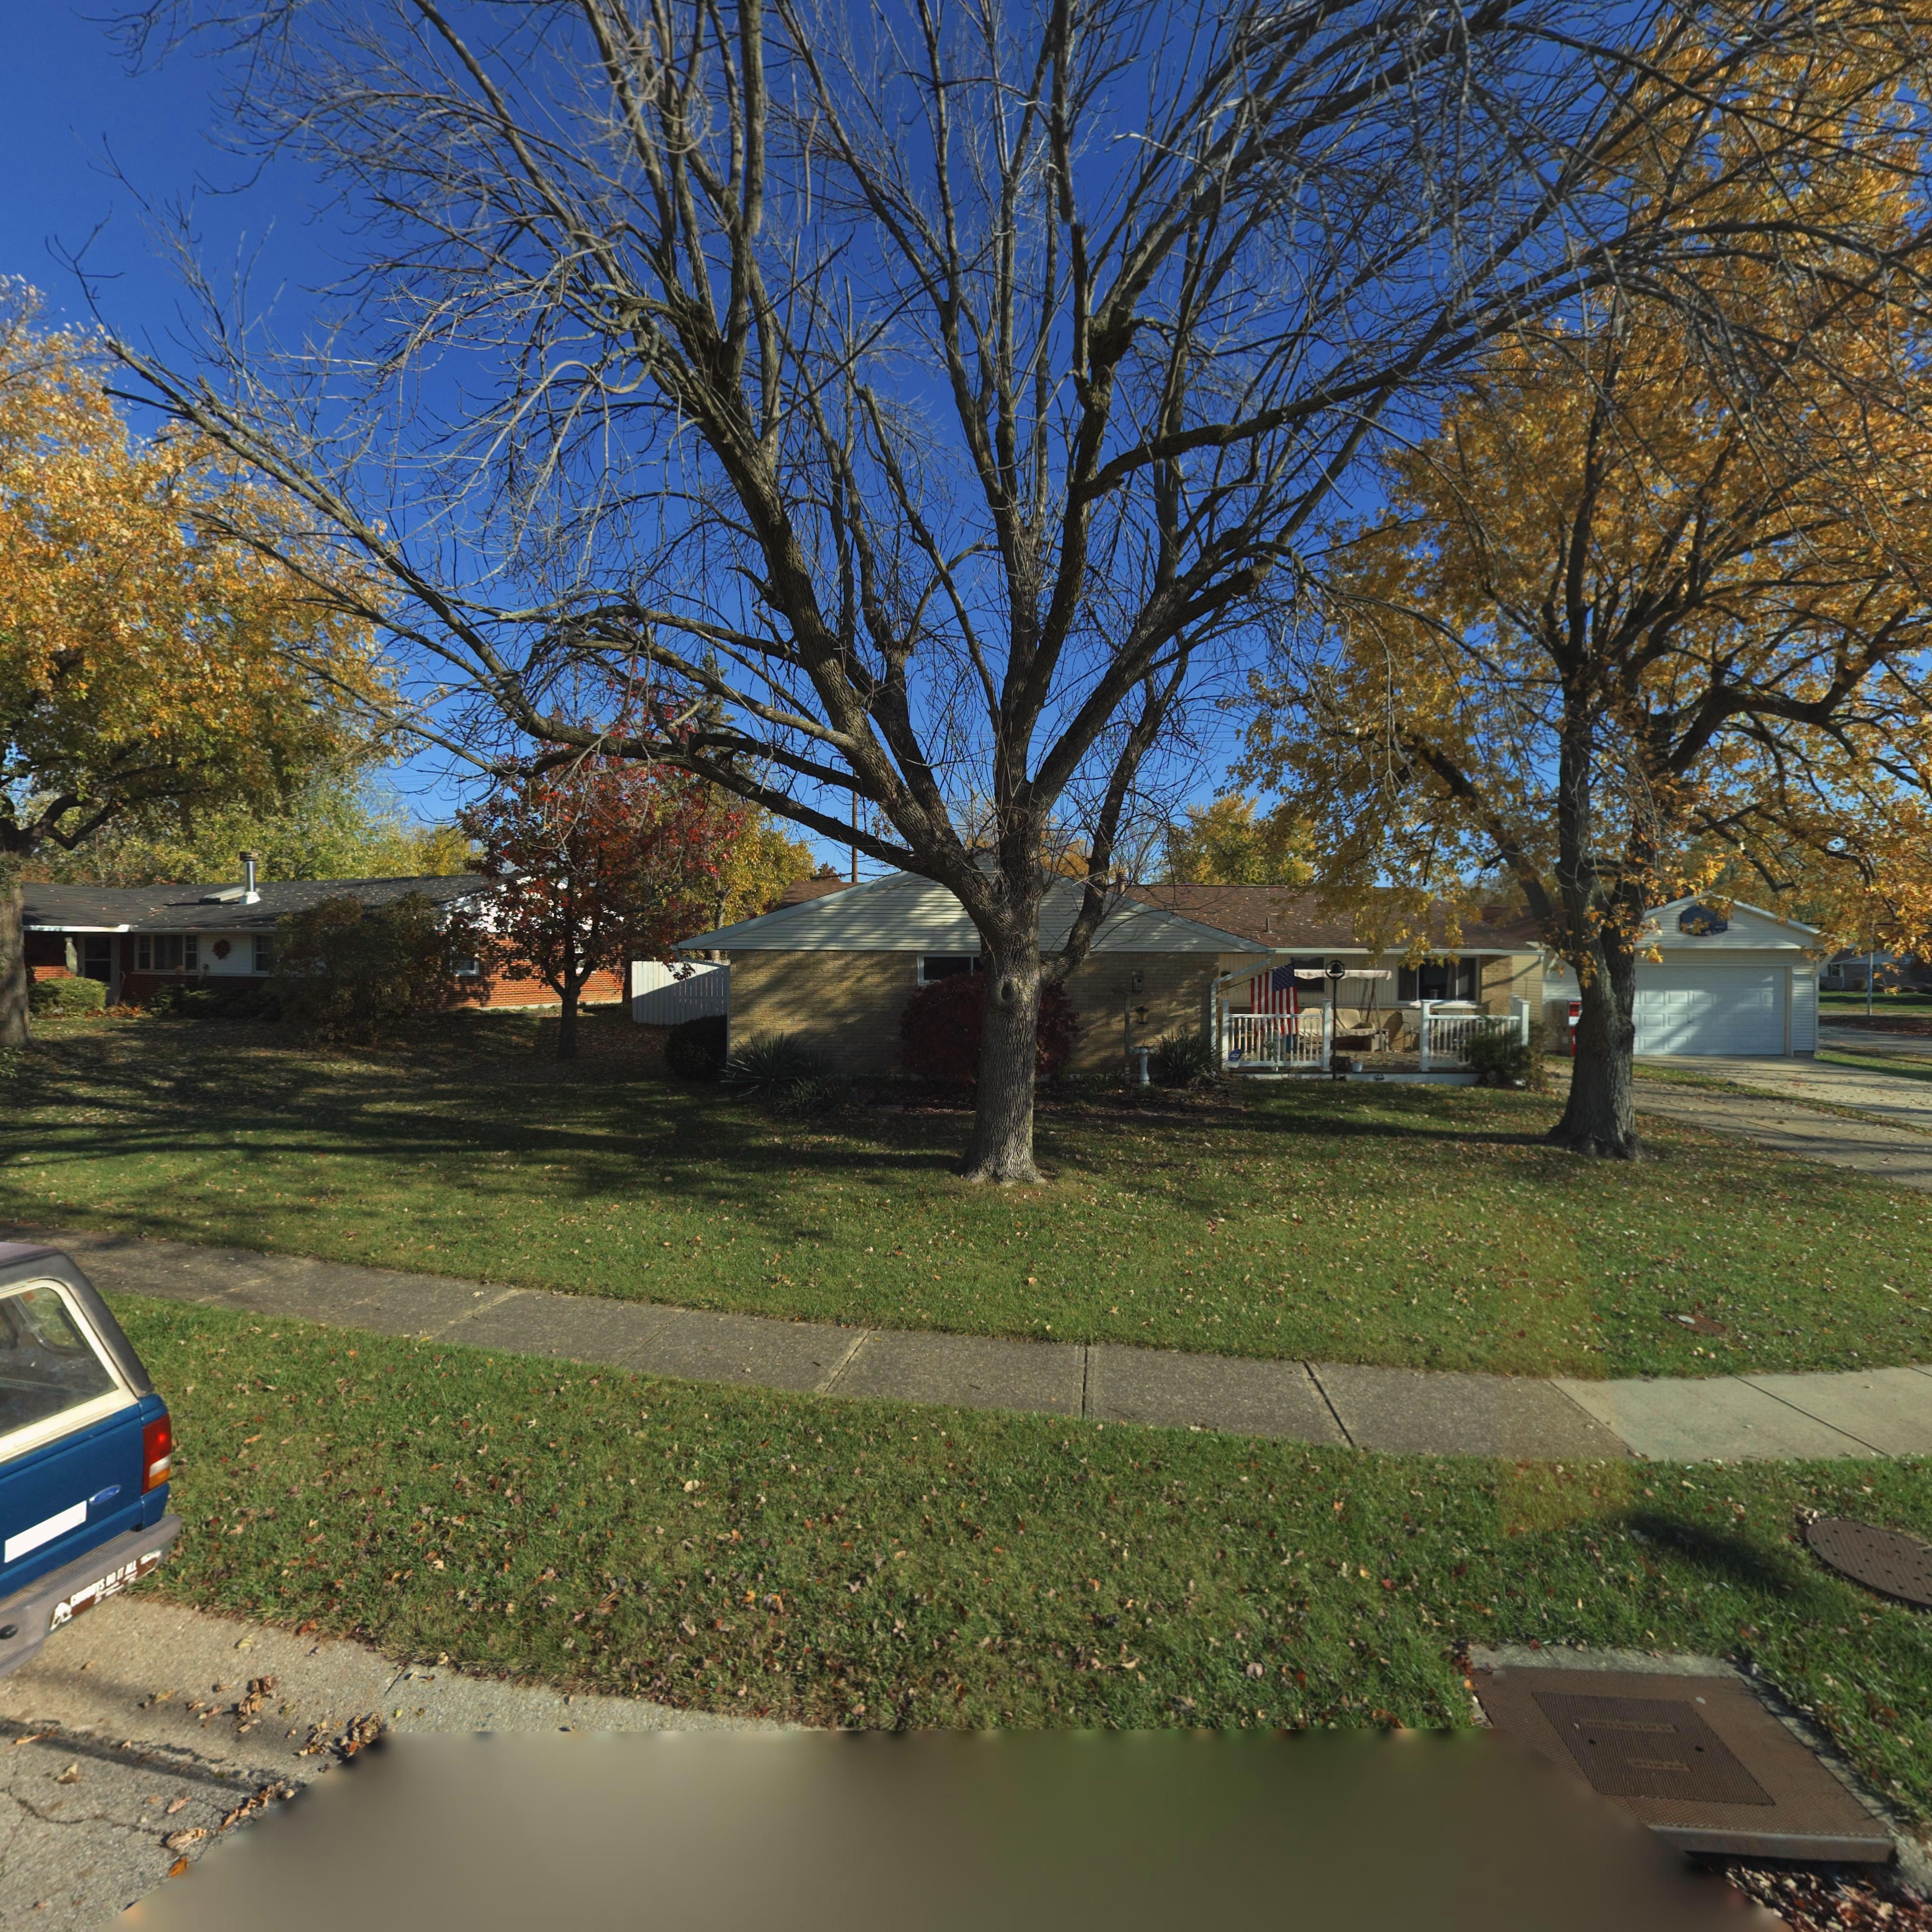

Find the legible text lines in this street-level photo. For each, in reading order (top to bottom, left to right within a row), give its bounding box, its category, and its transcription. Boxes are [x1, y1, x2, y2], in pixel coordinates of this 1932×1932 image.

[1234, 983, 1248, 994] StreetNumber: 751